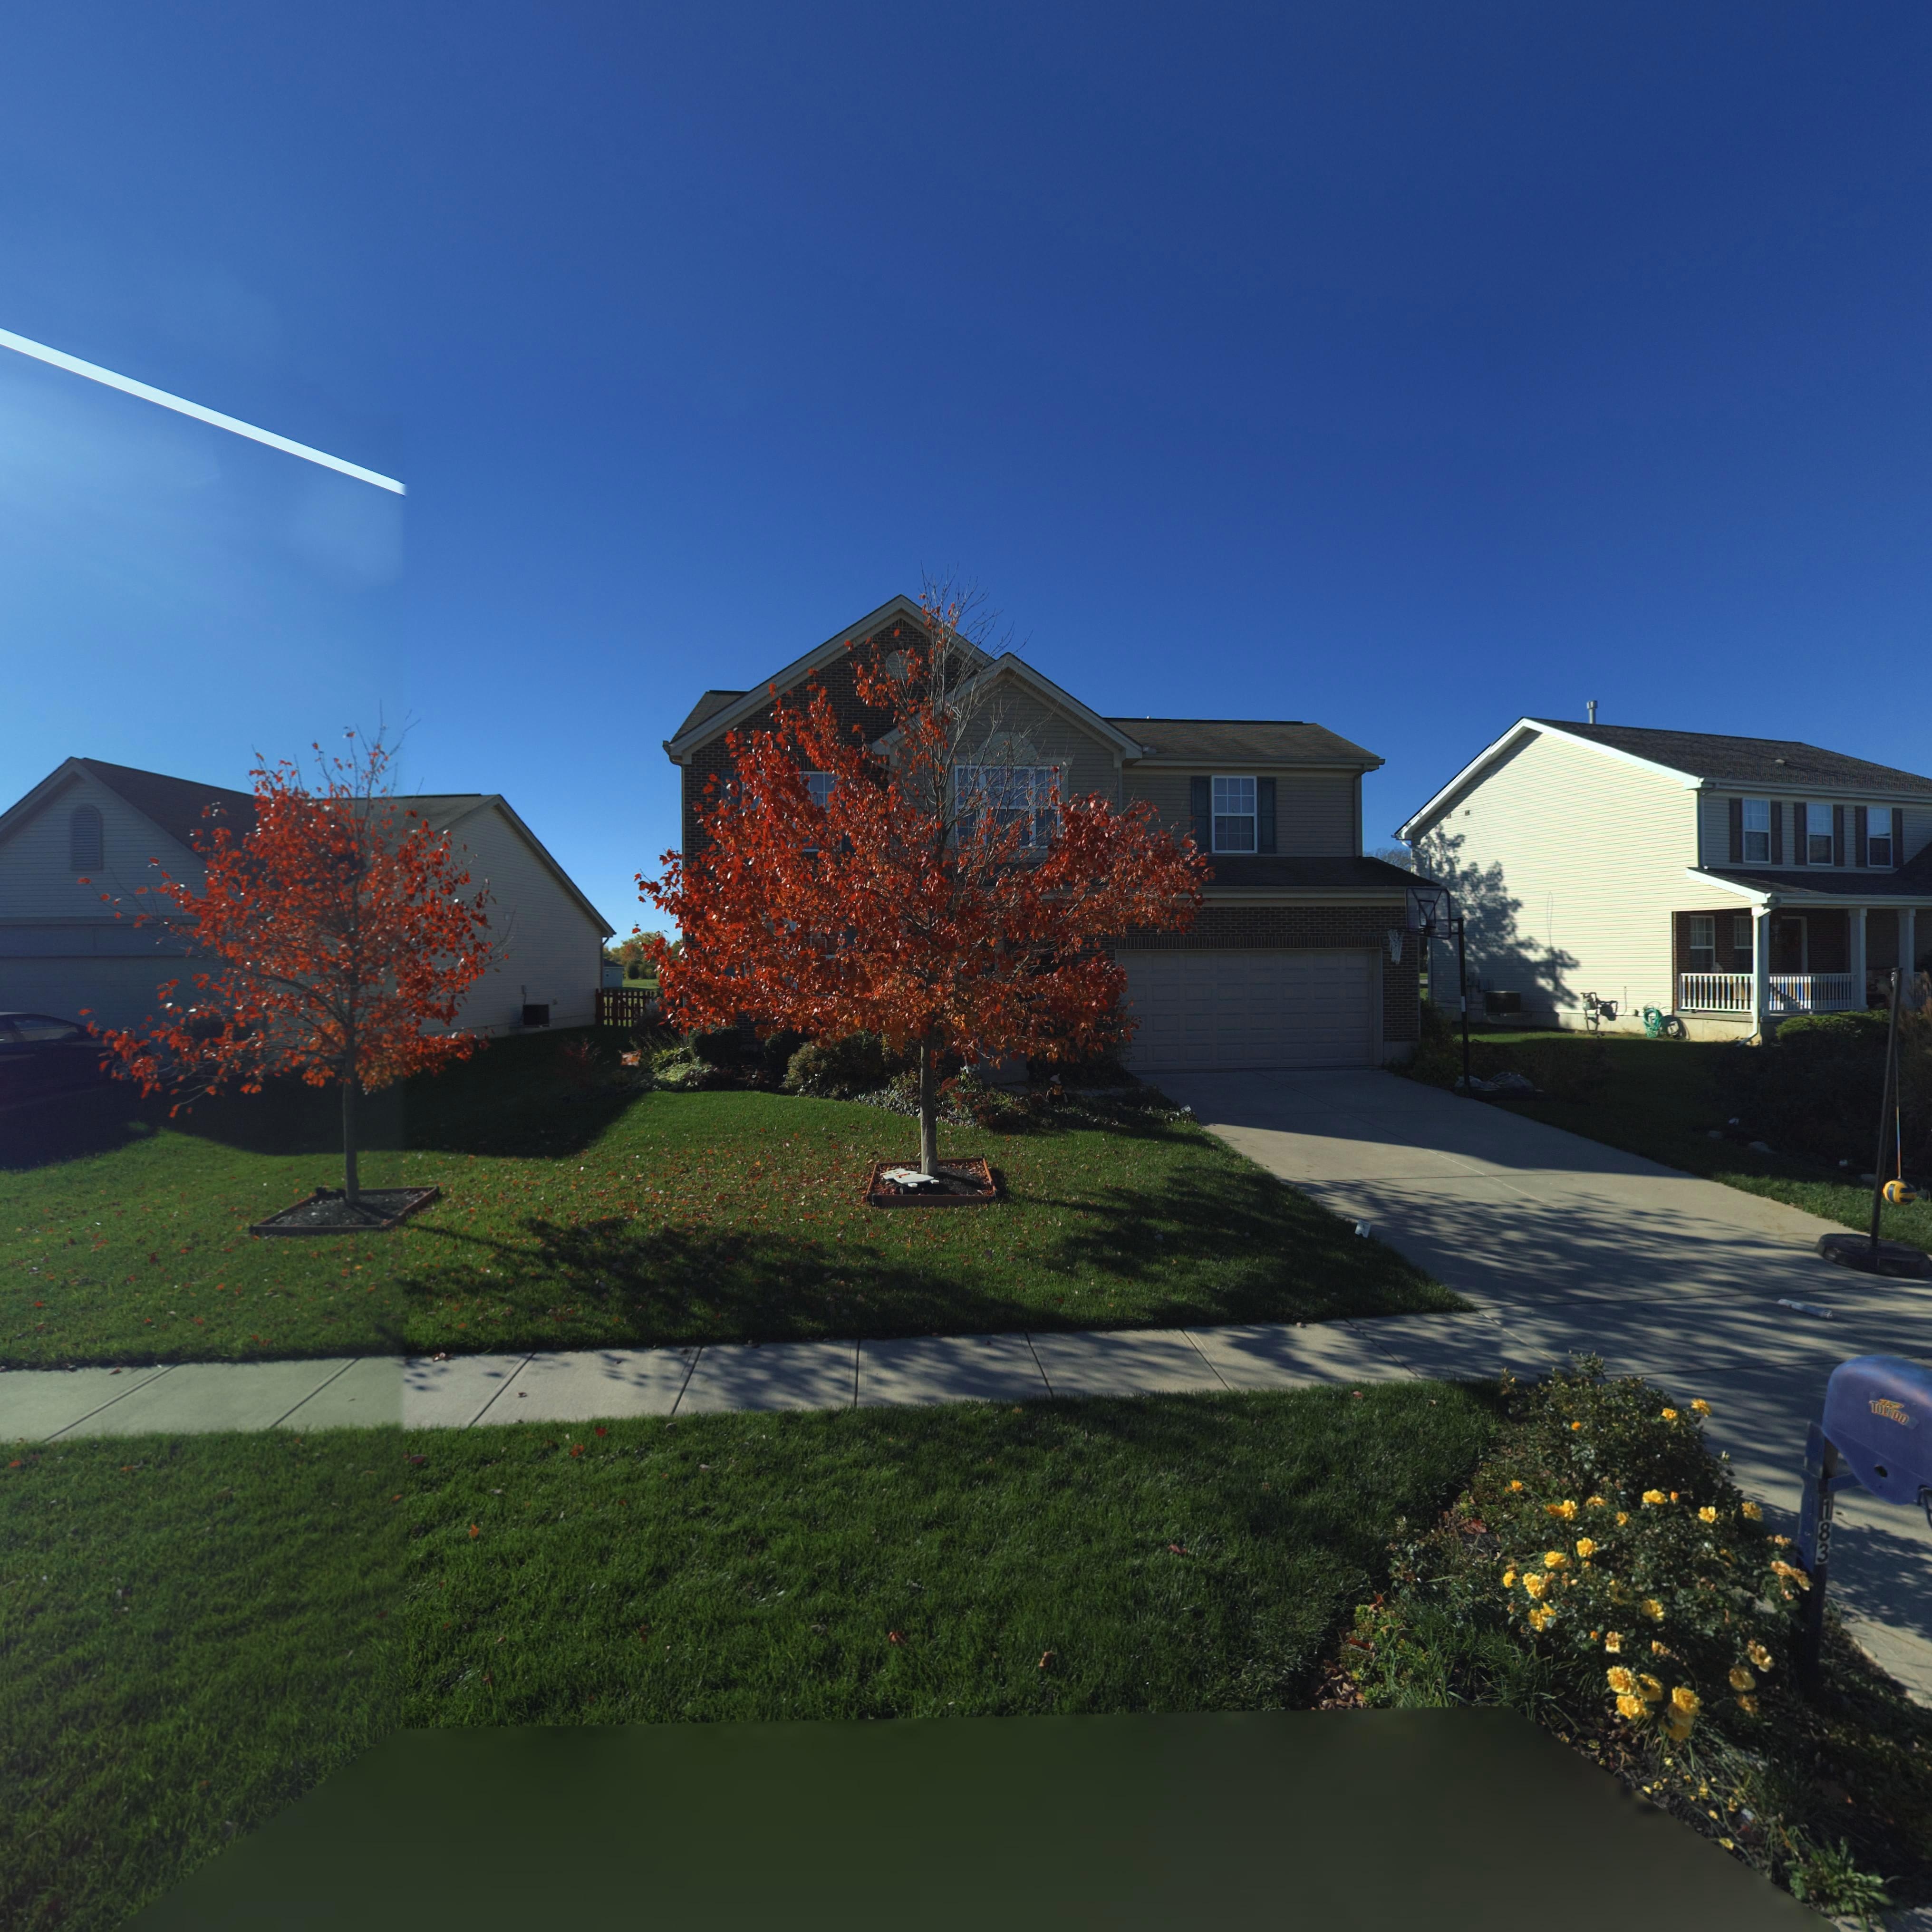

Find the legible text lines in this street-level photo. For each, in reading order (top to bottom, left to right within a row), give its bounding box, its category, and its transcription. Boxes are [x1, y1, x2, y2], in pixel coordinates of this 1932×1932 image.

[1816, 1497, 1834, 1564] StreetNumber: 183